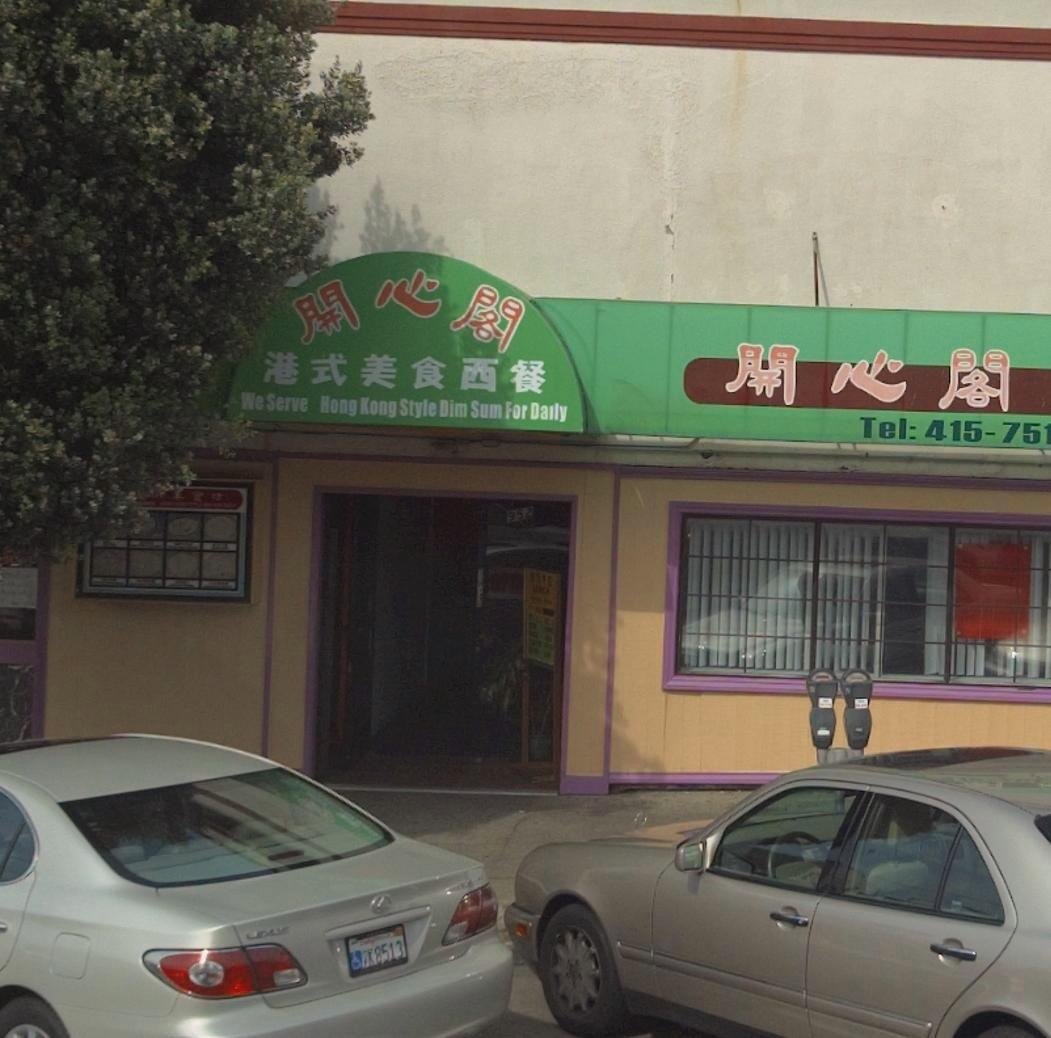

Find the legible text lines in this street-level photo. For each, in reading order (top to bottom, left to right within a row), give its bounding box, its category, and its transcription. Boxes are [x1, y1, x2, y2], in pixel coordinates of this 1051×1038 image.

[240, 391, 570, 424] None: We Serve Hong Kong Style Dim Sum For Daily
[859, 416, 1042, 445] None: Tel: 415-75
[506, 505, 533, 524] StreetNumber: 952
[365, 939, 404, 968] None: K8513